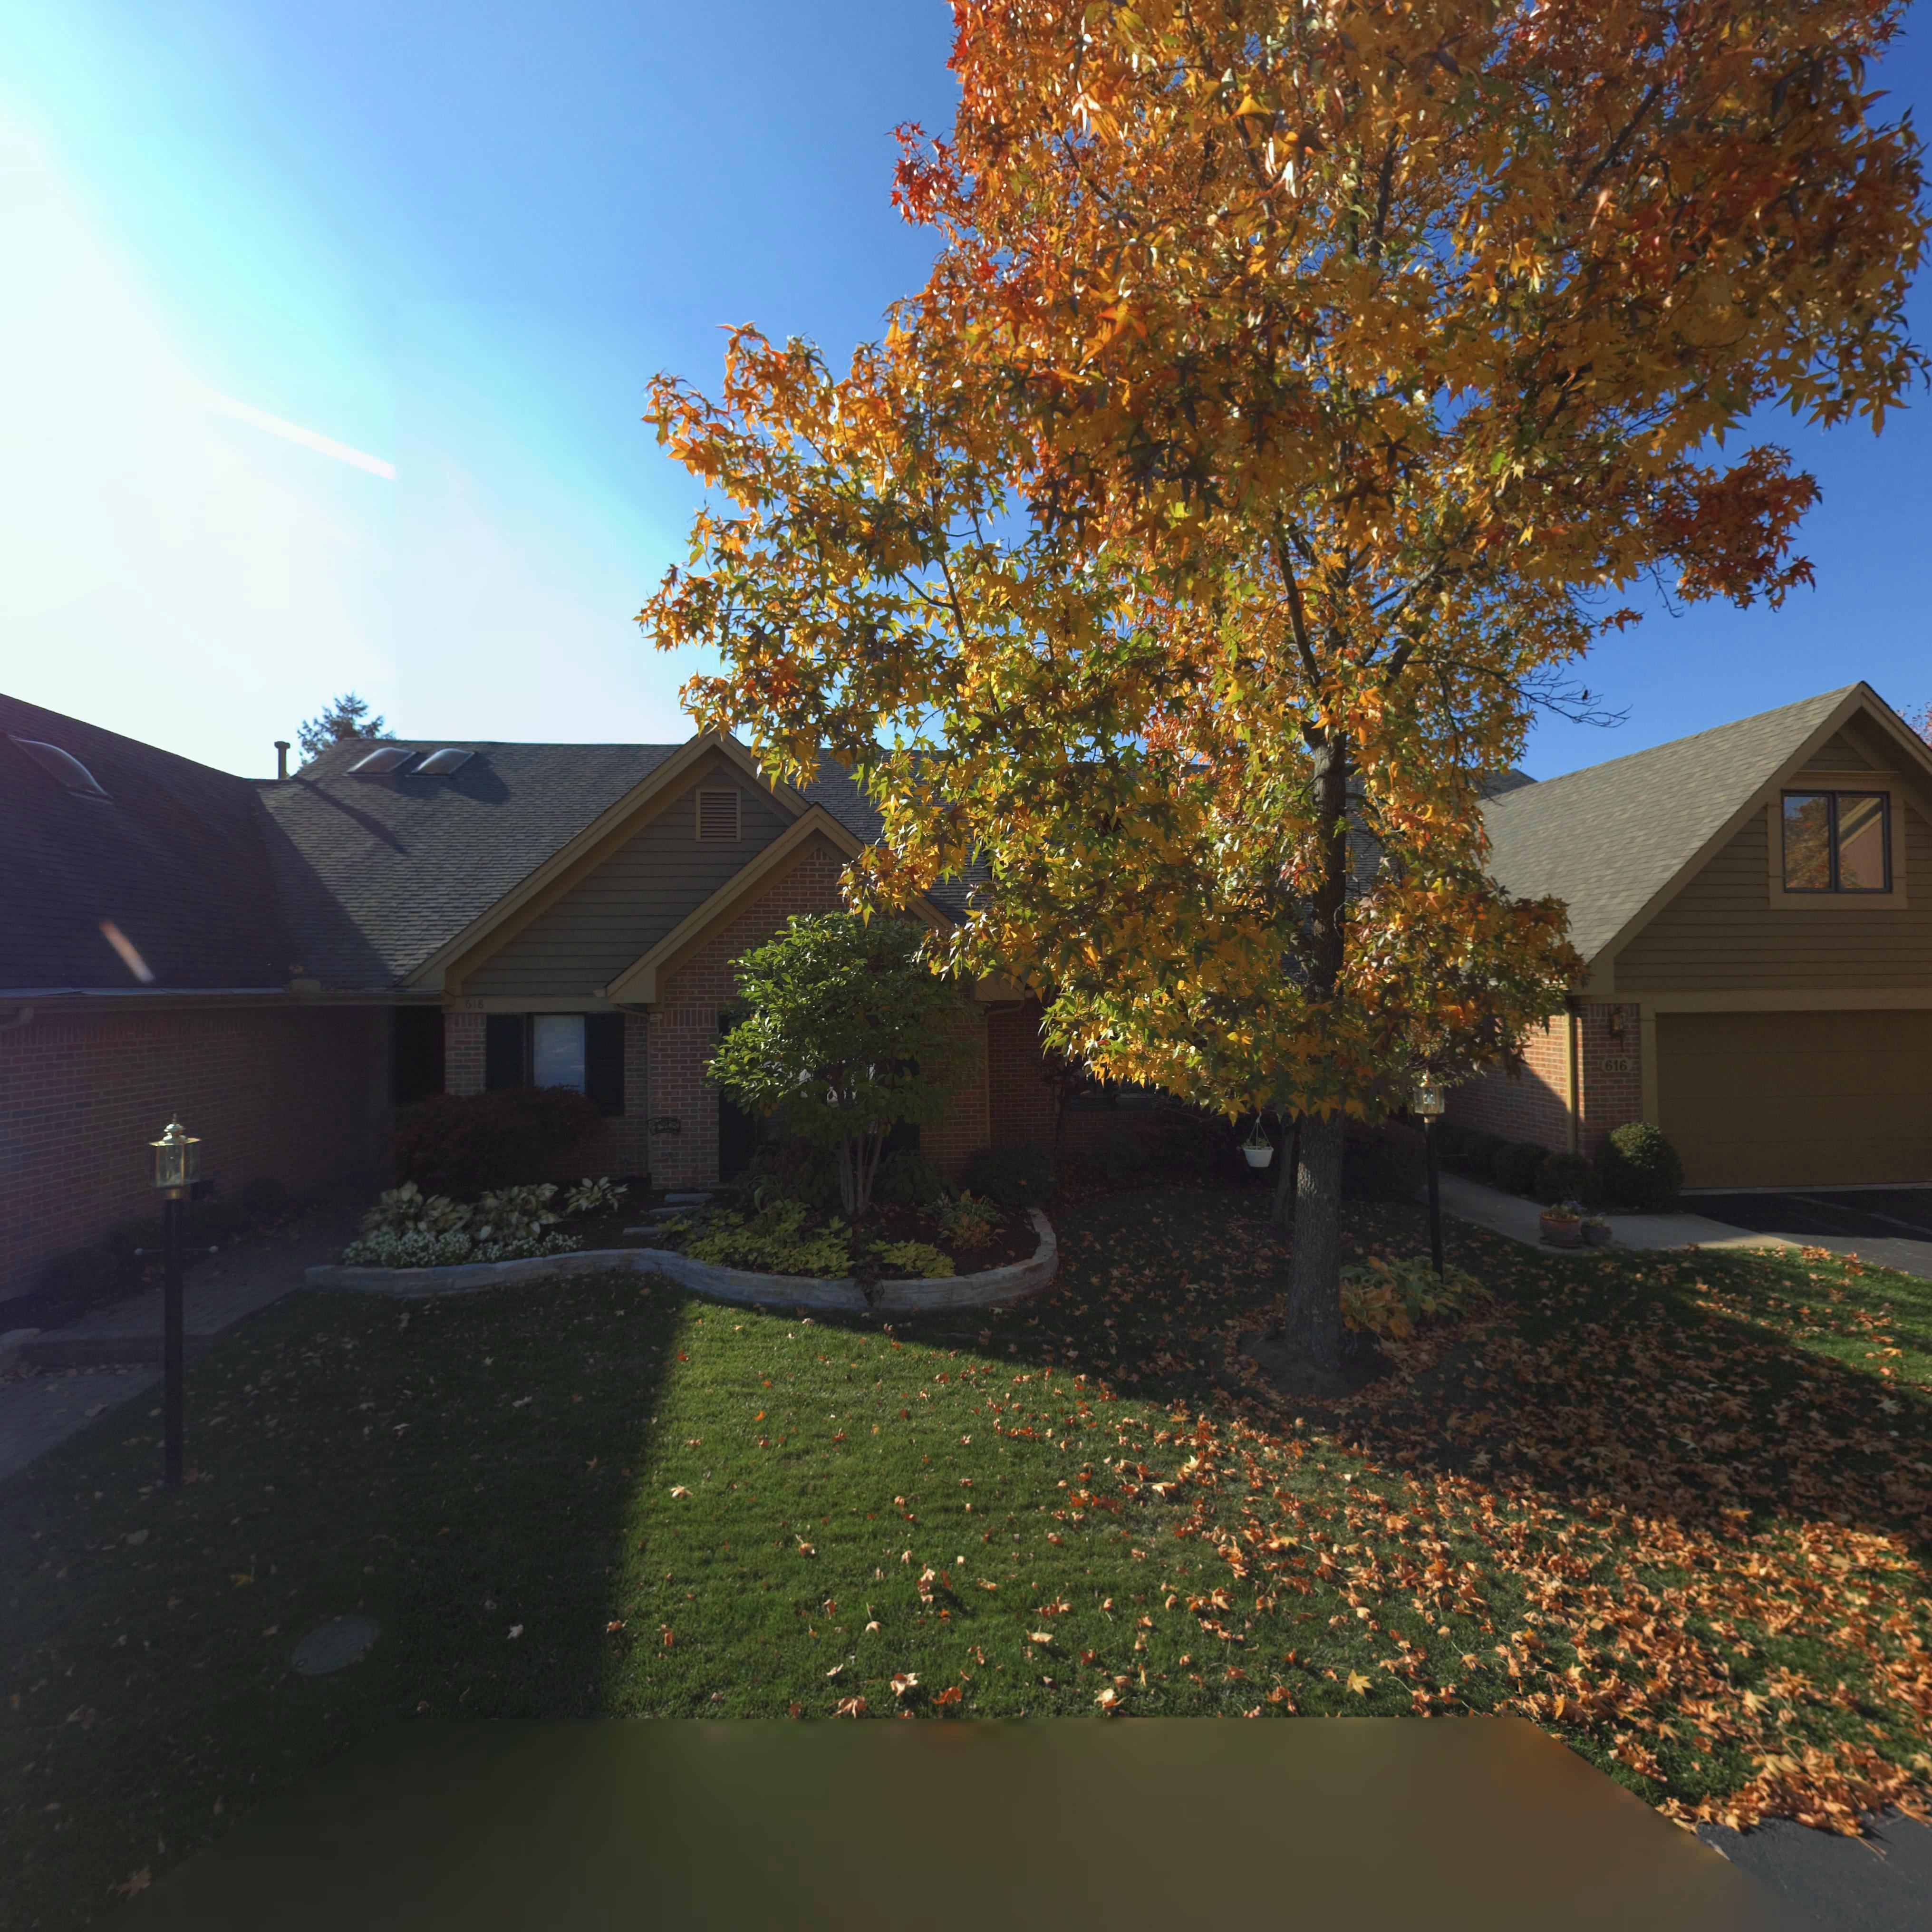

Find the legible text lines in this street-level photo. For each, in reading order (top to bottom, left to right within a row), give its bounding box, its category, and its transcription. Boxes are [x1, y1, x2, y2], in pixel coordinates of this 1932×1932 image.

[1604, 1058, 1629, 1073] StreetNumber: 616